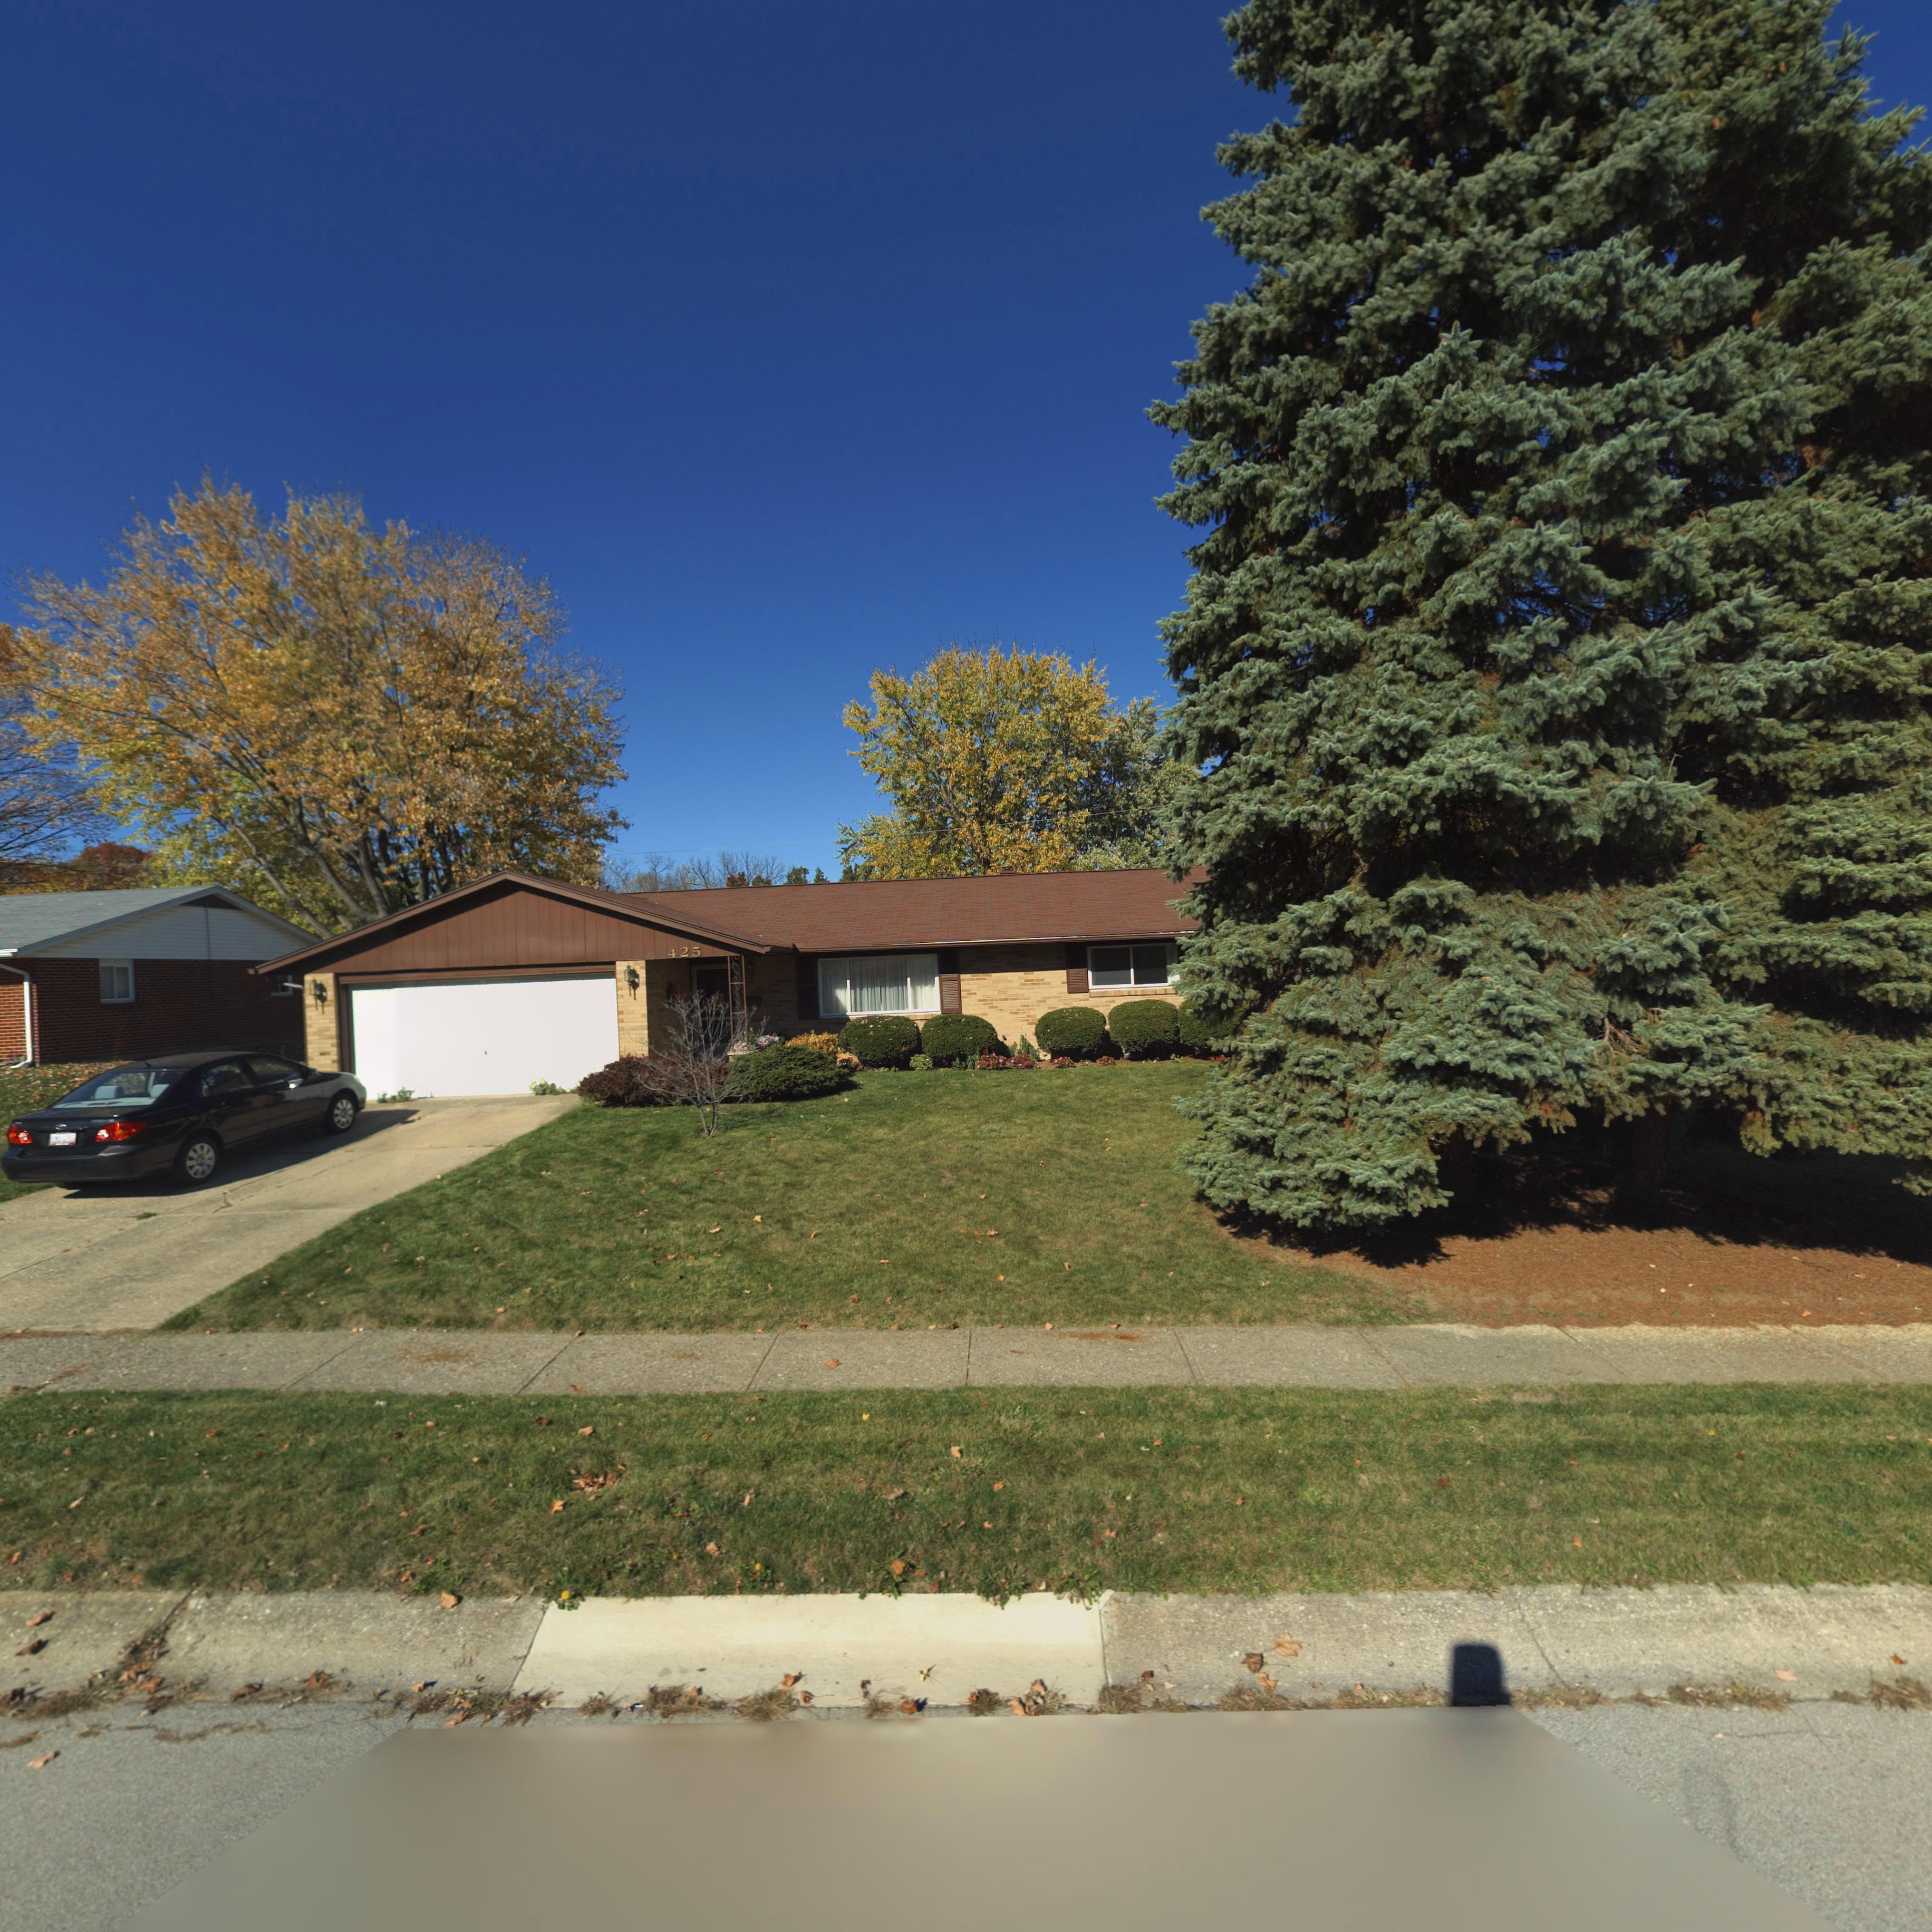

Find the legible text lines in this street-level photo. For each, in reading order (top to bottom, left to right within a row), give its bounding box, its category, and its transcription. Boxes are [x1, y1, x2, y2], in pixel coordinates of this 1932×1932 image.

[667, 945, 703, 959] StreetNumber: 425